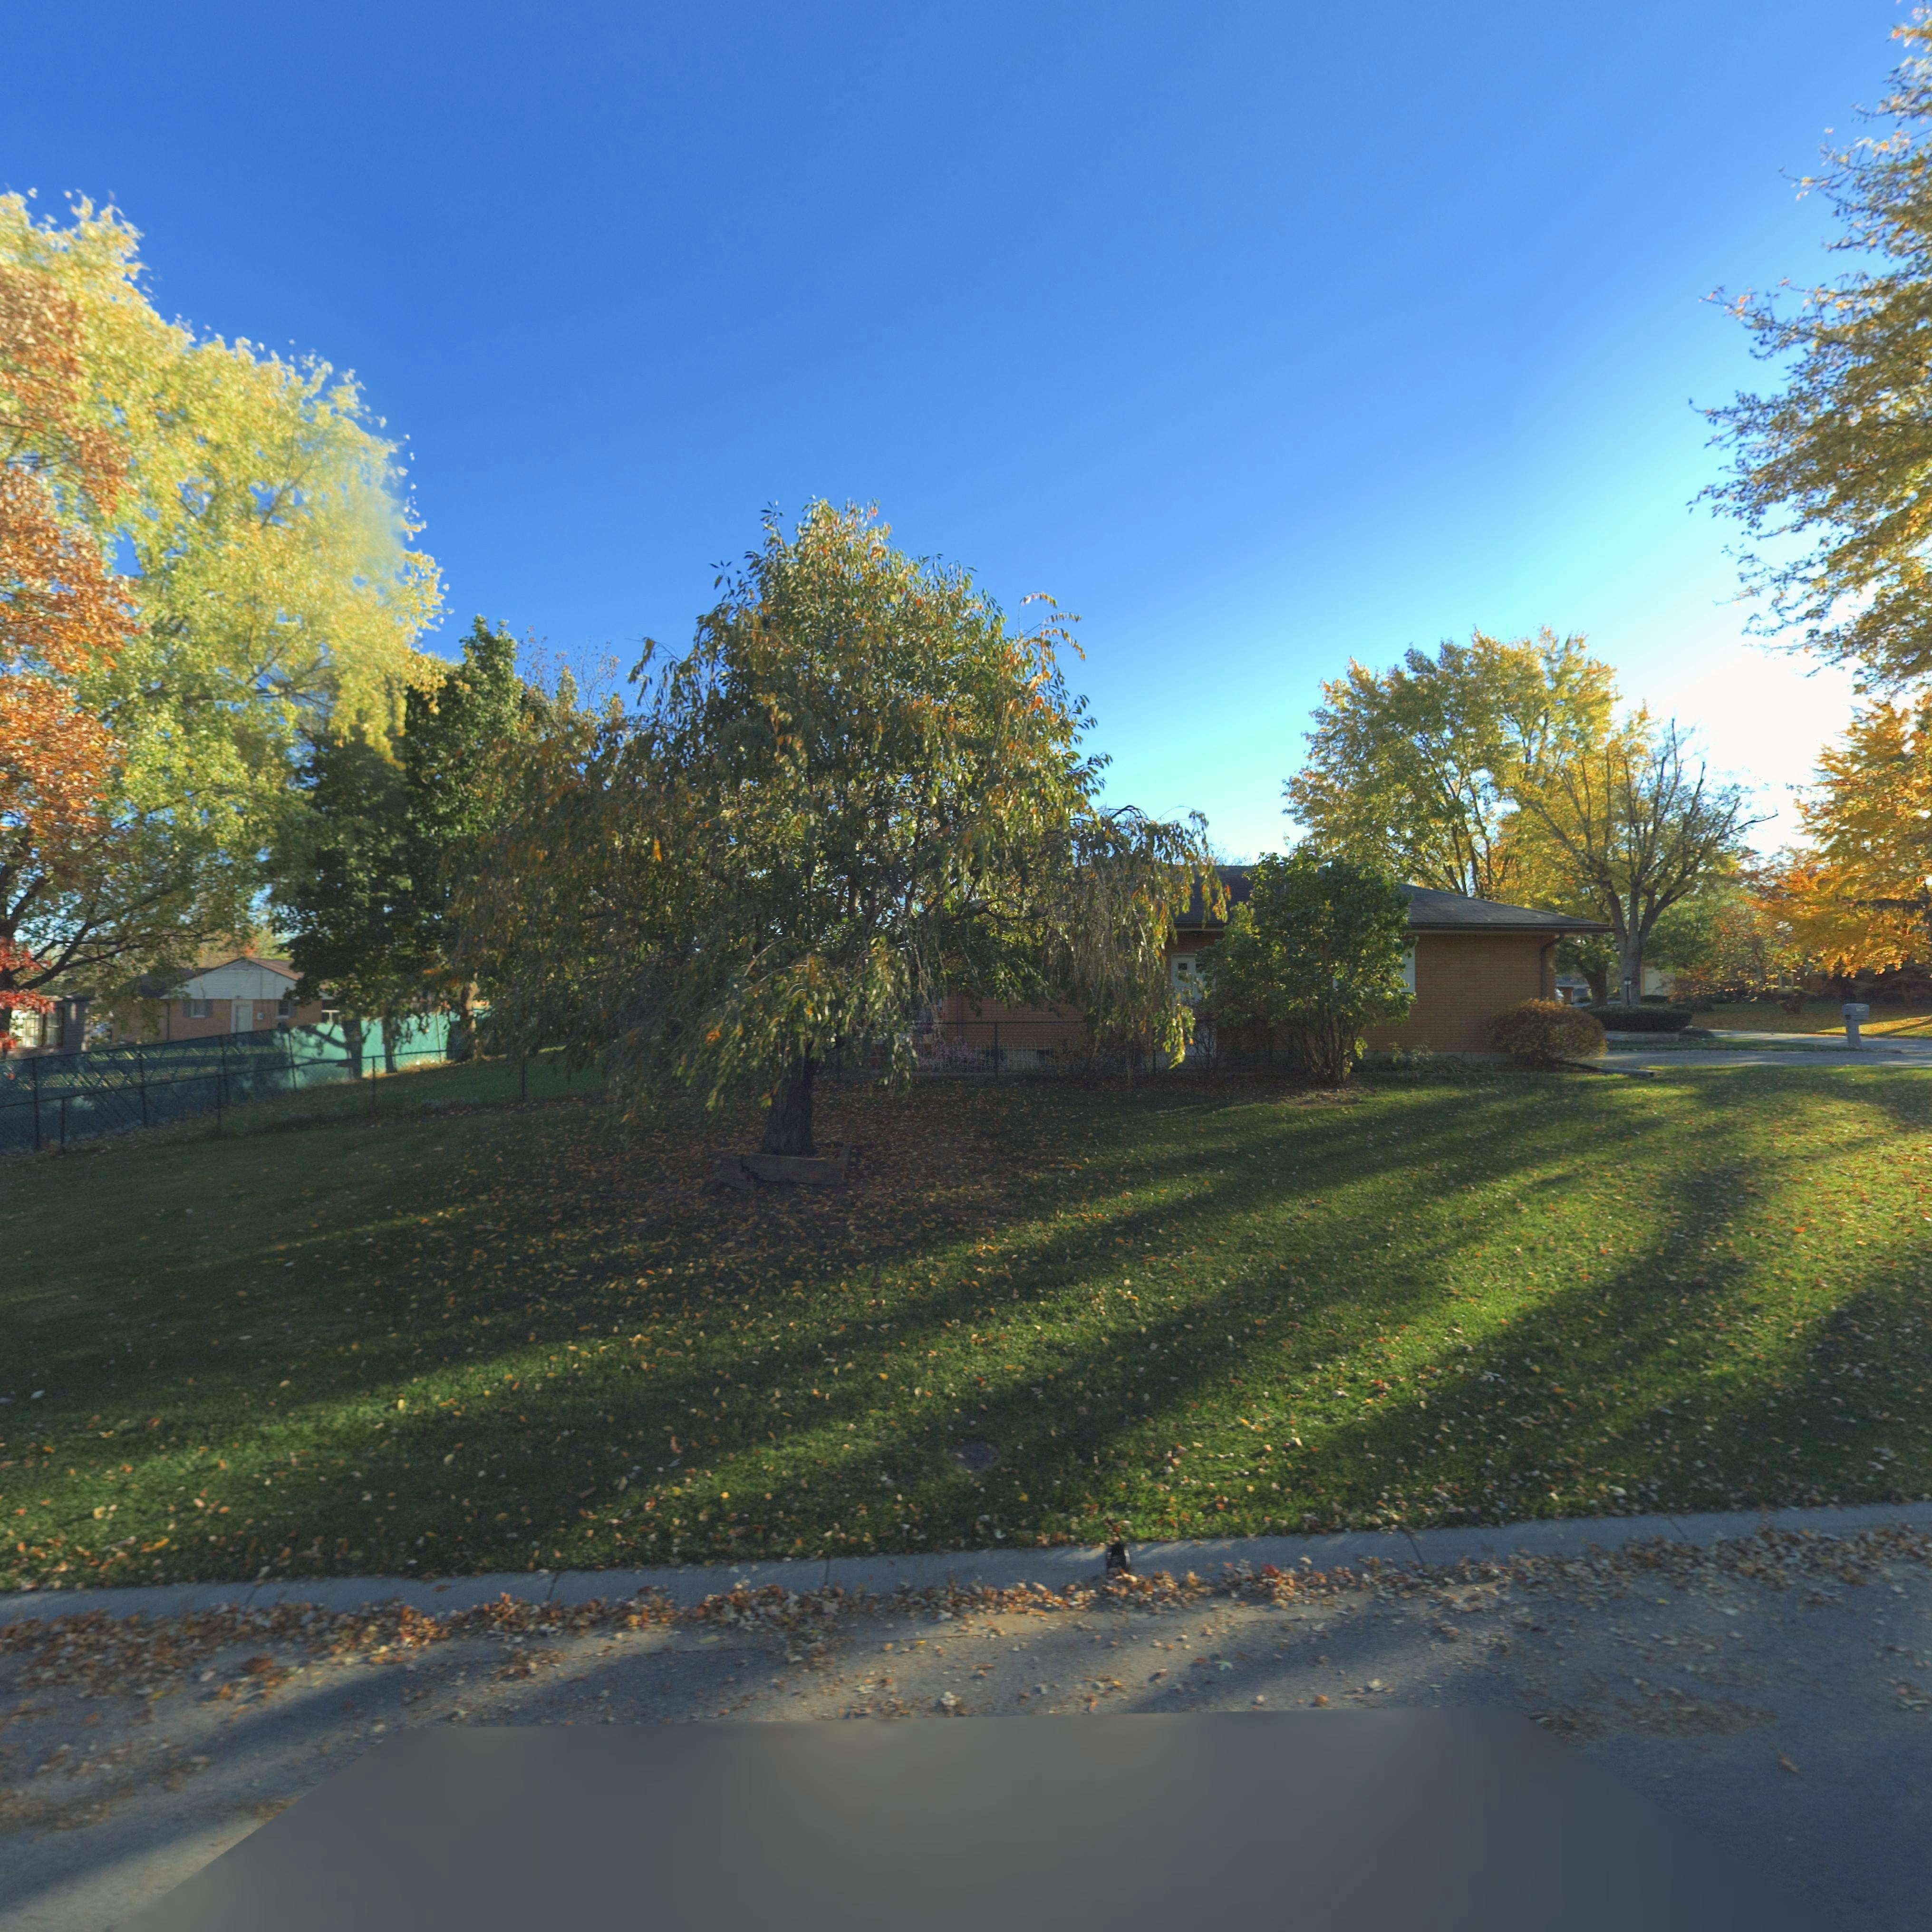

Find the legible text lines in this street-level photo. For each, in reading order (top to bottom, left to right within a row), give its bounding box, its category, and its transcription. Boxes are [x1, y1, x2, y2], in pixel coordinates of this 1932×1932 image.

[1857, 1006, 1865, 1011] StreetNumber: 7*40